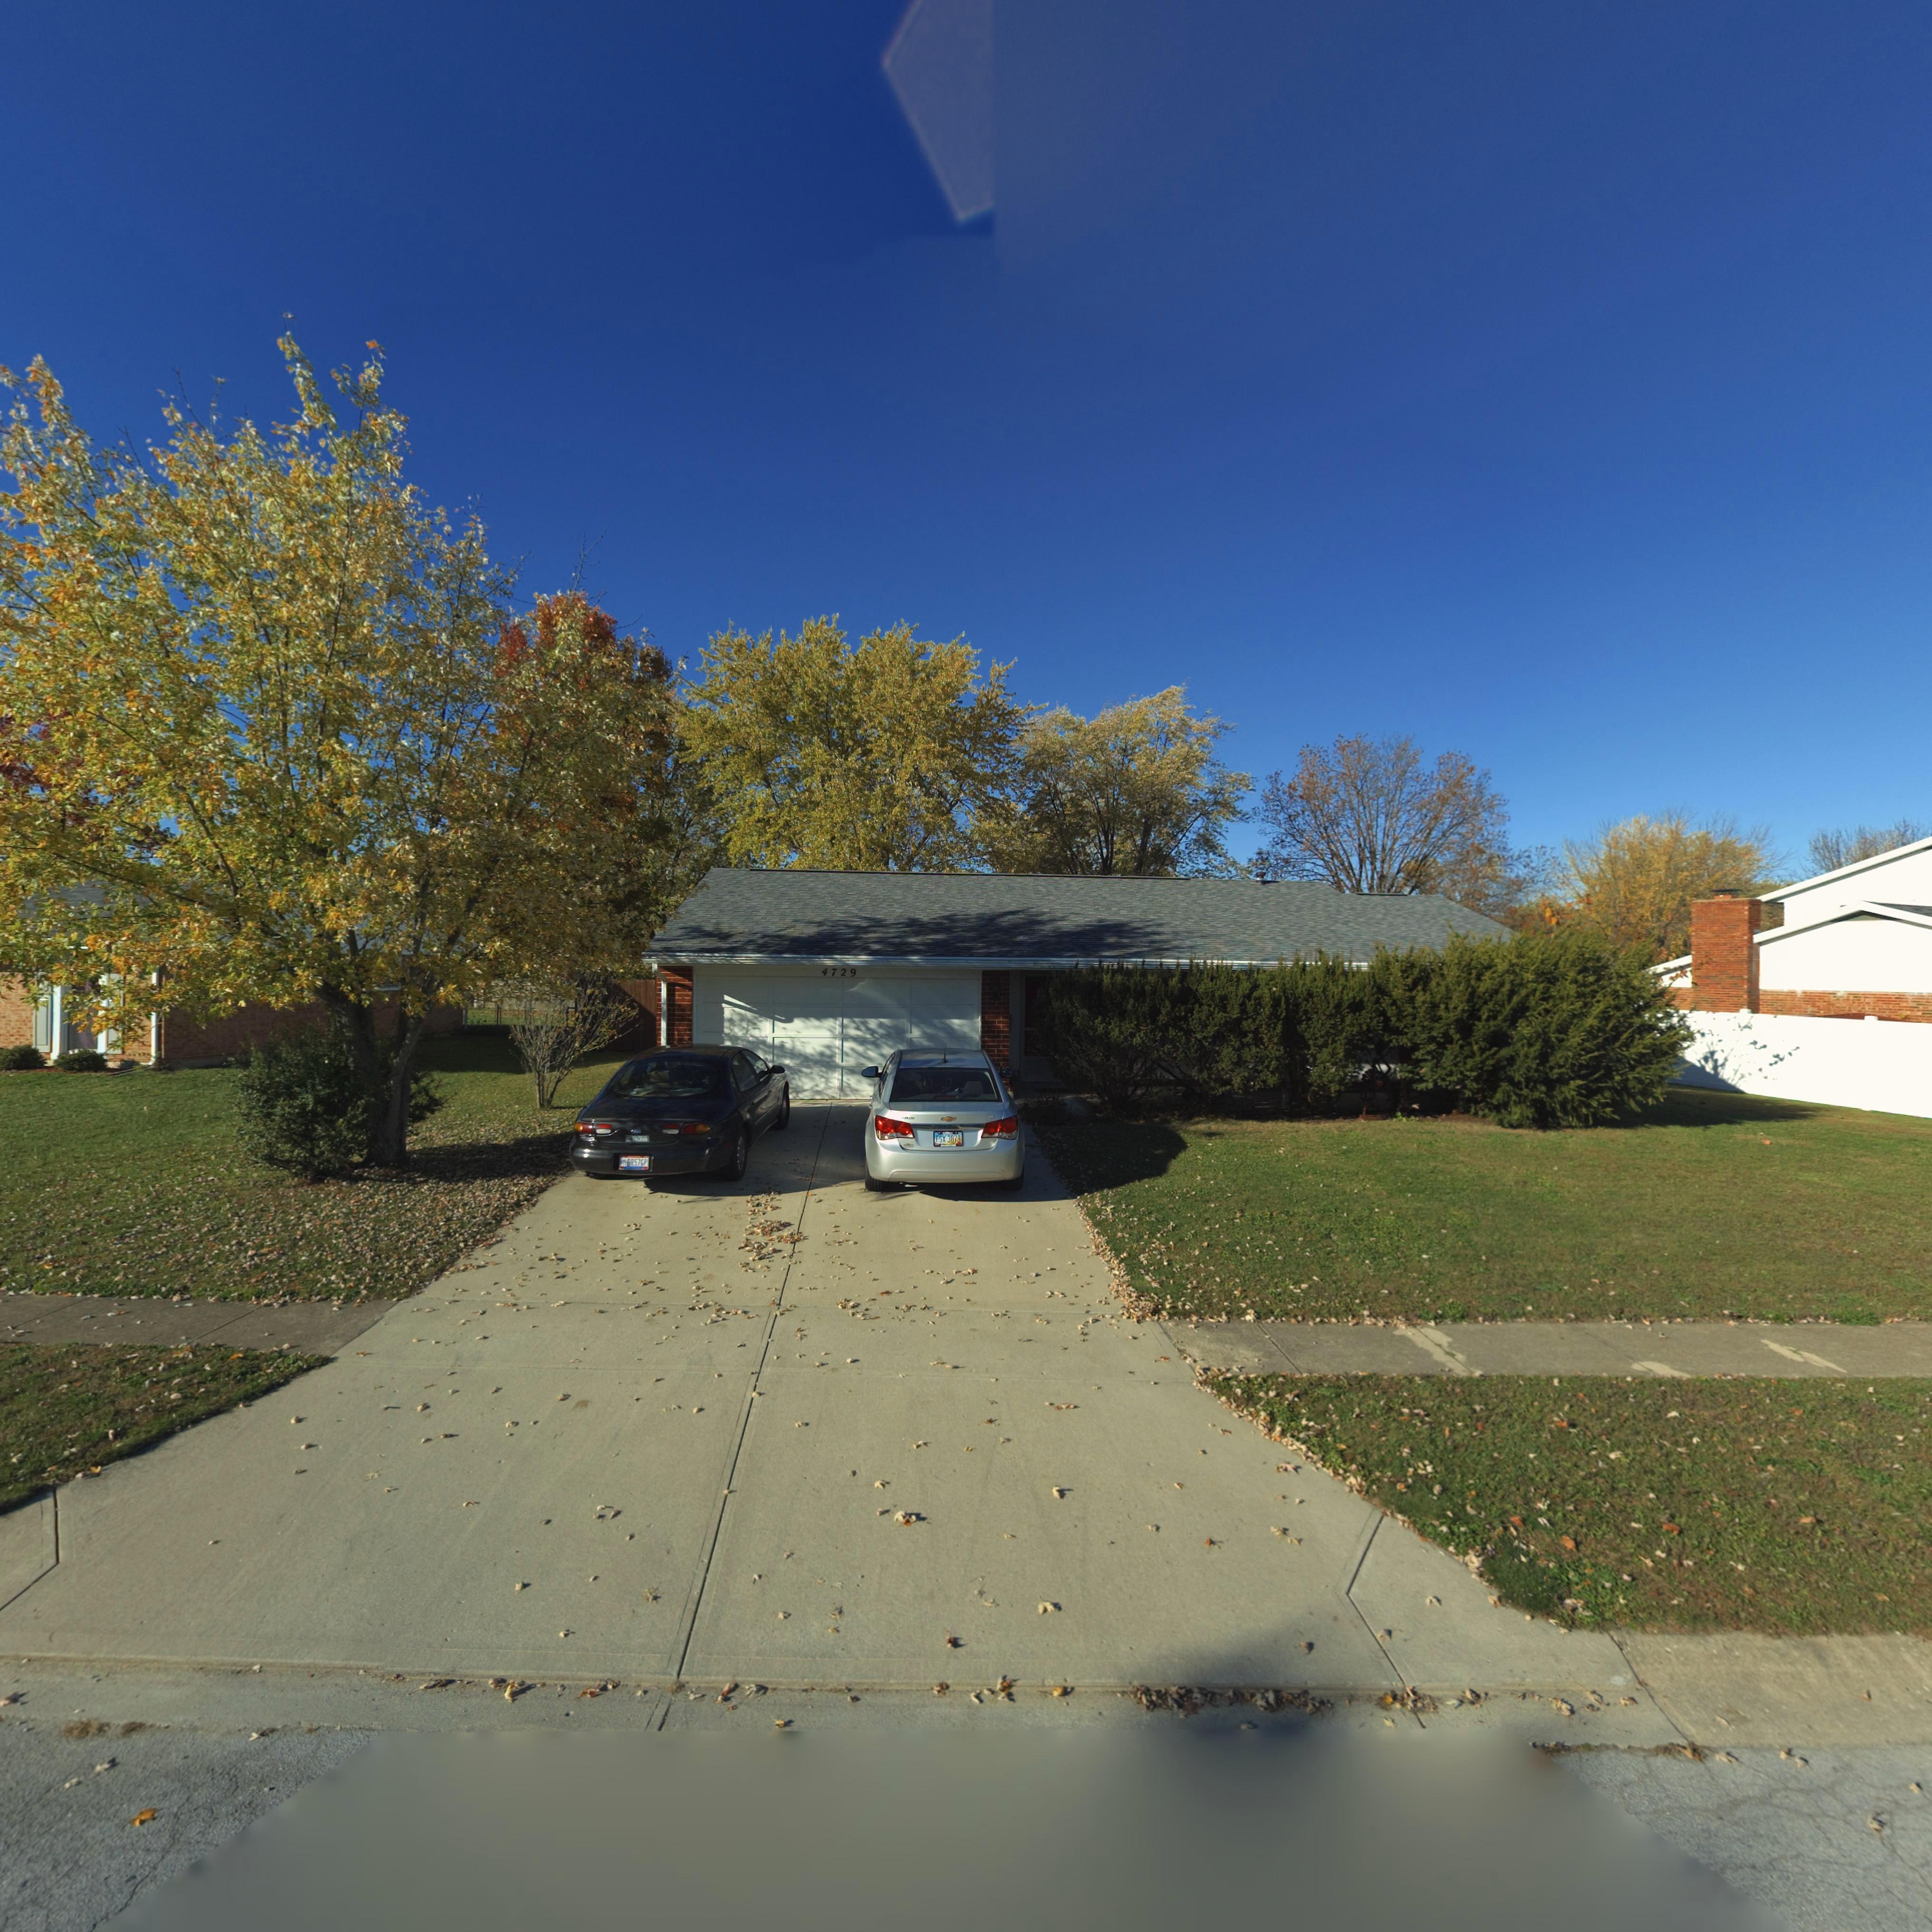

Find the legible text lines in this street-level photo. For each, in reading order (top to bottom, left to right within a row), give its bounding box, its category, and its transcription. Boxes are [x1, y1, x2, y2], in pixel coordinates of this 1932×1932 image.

[820, 967, 857, 978] StreetNumber: 4729